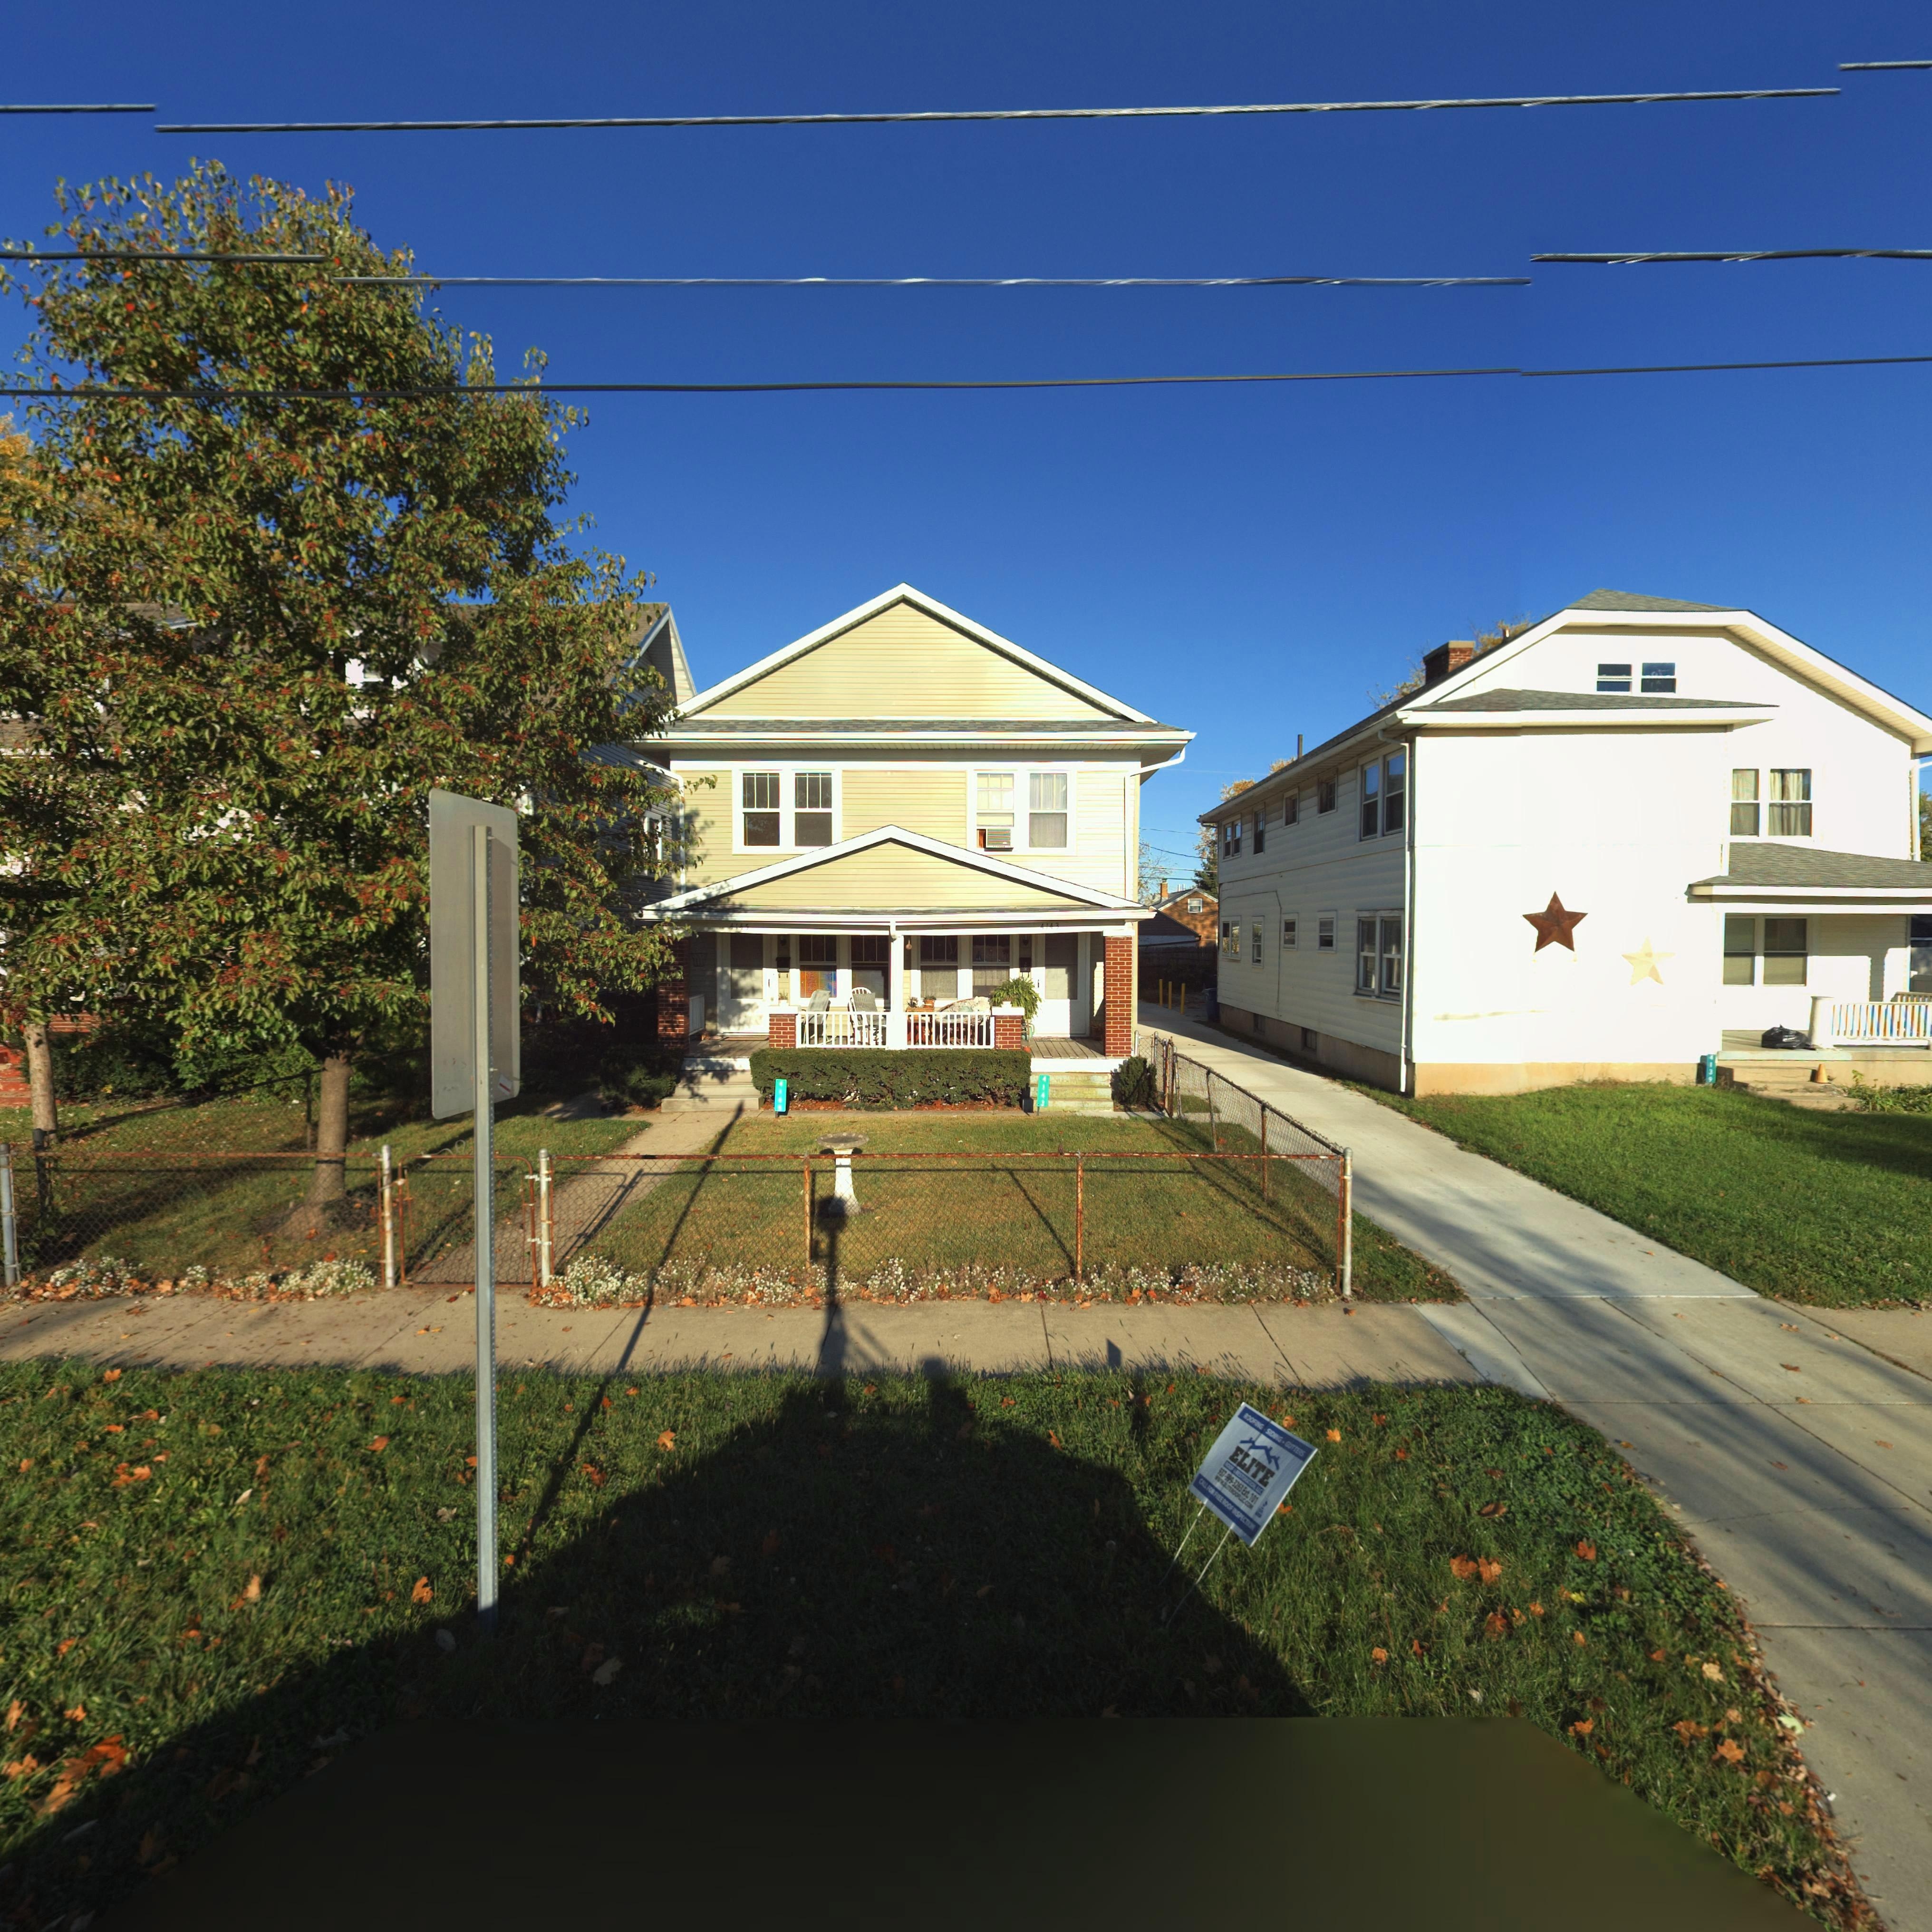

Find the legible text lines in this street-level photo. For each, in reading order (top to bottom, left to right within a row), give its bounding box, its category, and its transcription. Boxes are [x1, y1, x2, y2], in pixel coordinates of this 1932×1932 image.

[729, 922, 749, 931] StreetNumber: 4145
[1040, 922, 1060, 930] StreetNumber: 4143
[776, 1081, 783, 1111] StreetNumber: 4145
[1040, 1075, 1046, 1107] StreetNumber: 4143